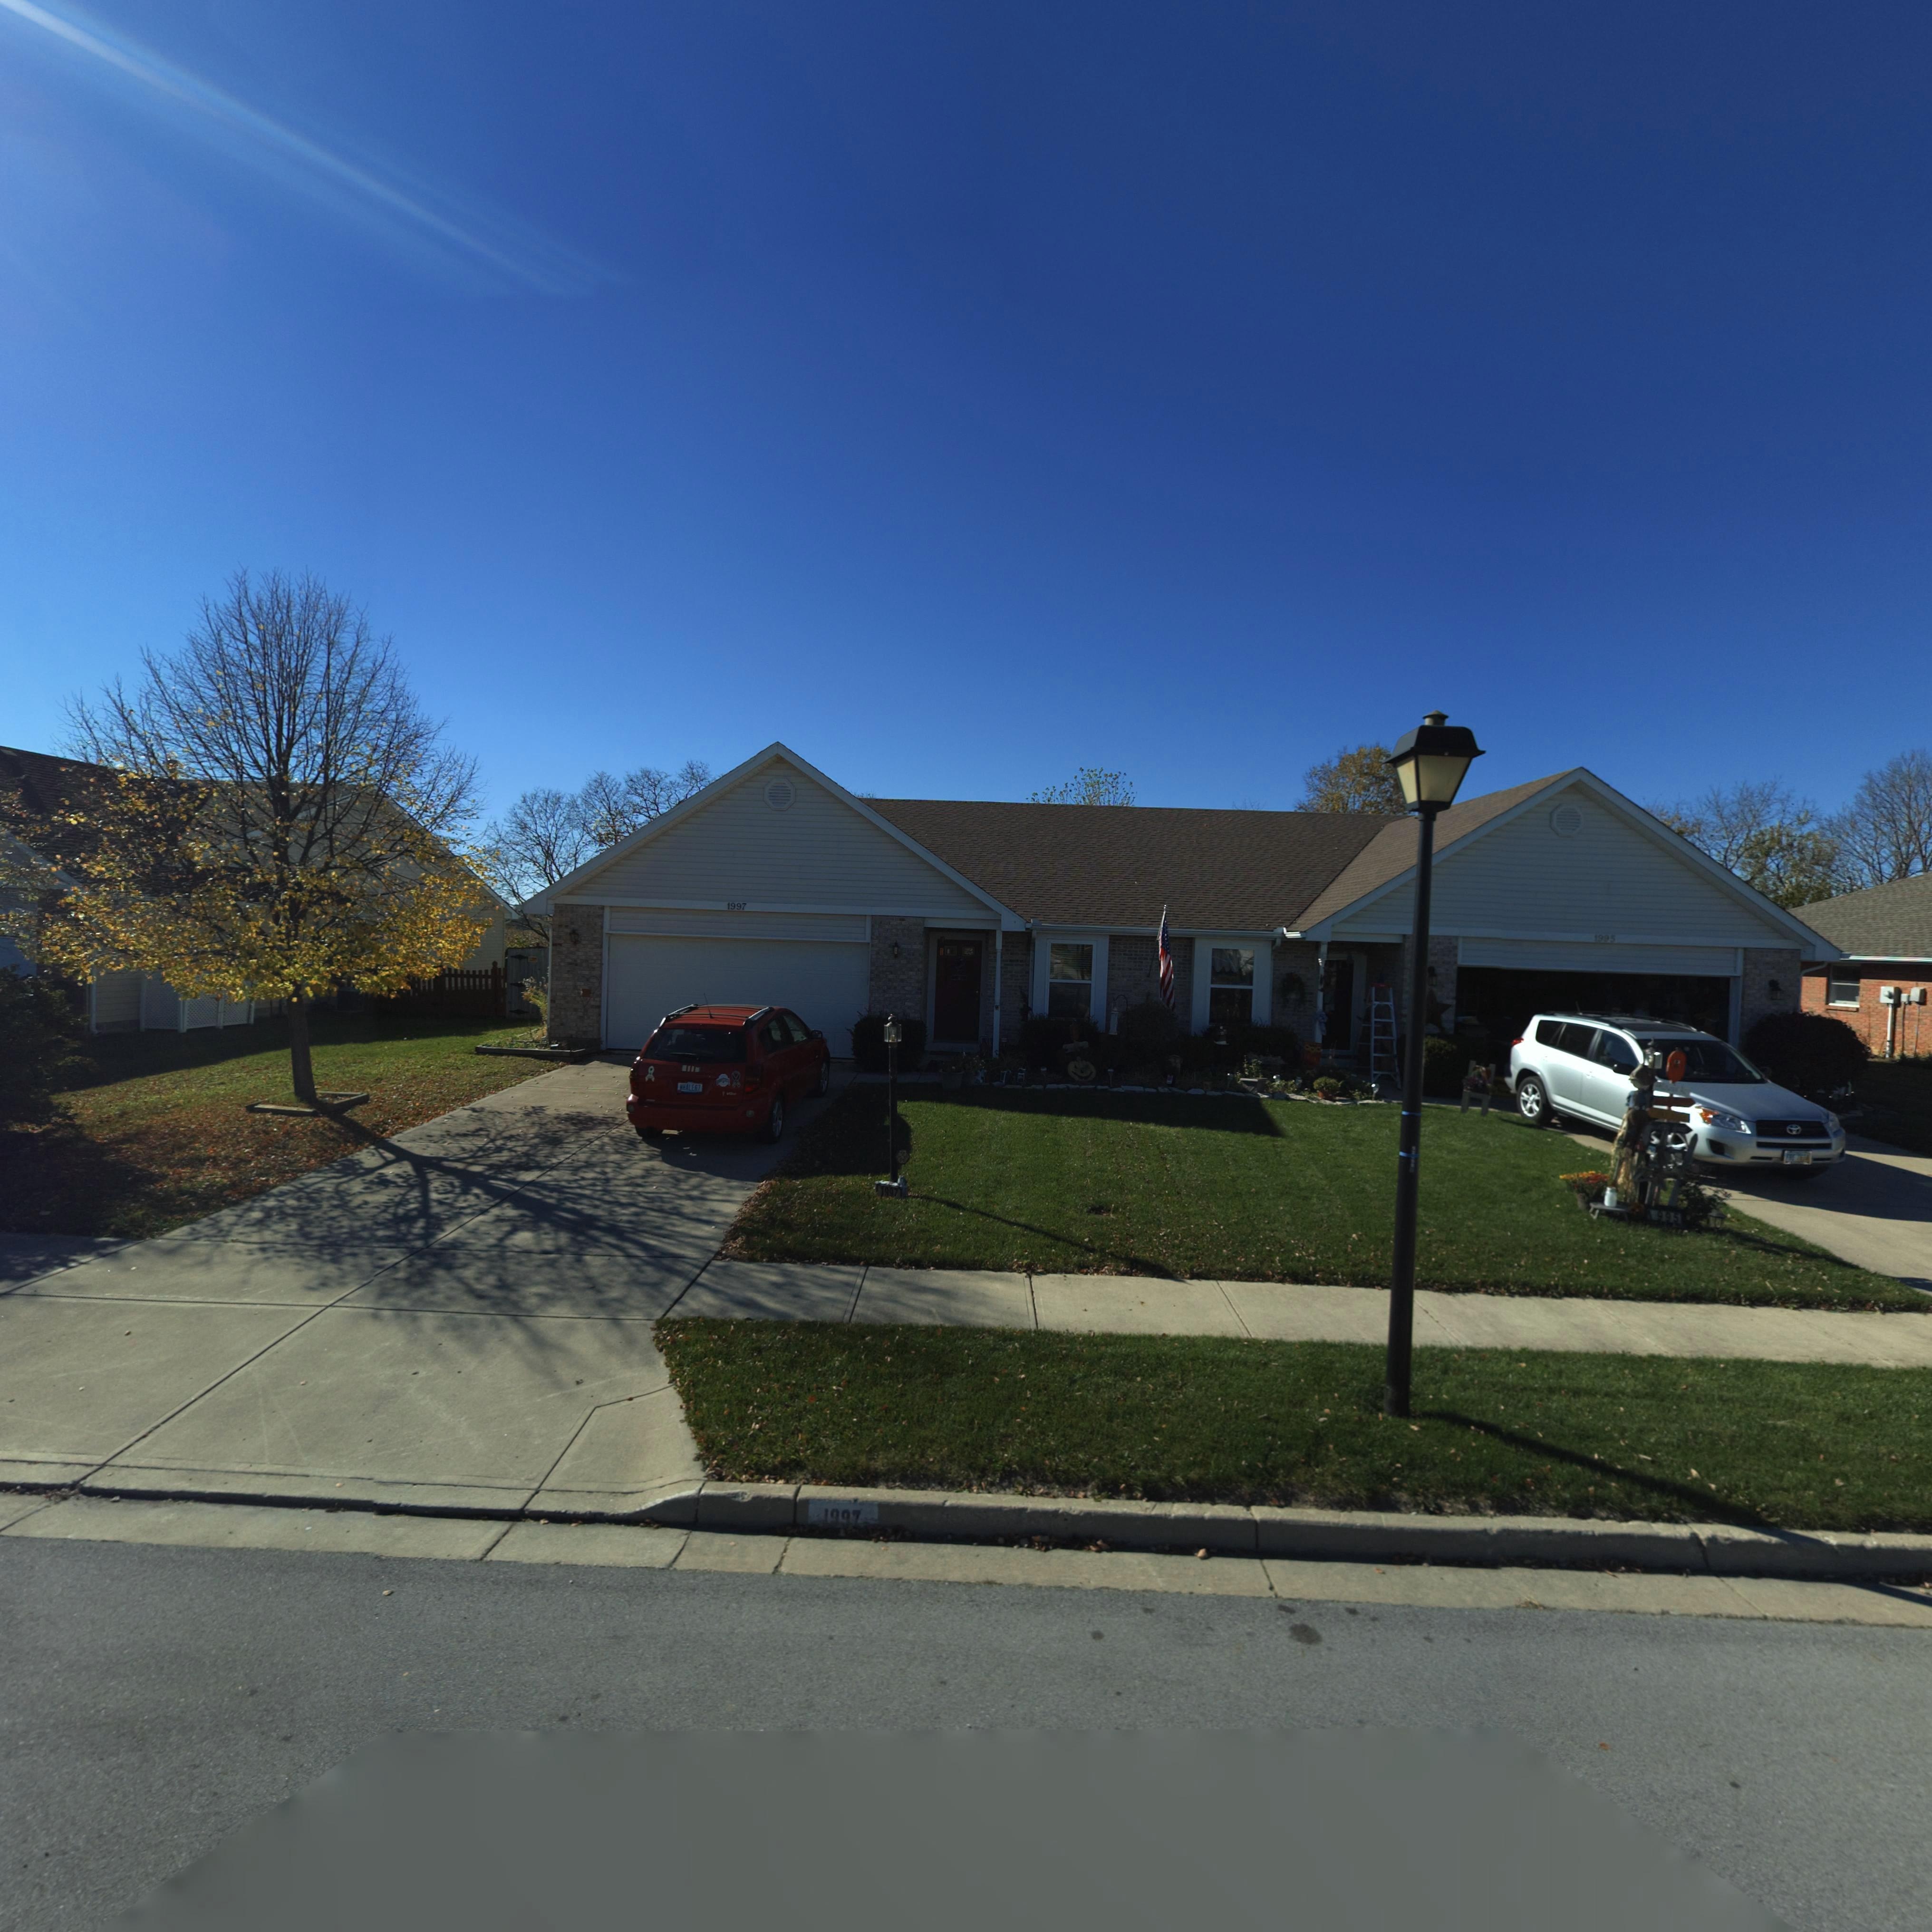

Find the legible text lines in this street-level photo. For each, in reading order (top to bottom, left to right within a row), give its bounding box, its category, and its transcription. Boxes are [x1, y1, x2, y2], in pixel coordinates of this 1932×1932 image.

[726, 901, 749, 911] StreetNumber: 1997
[1593, 934, 1616, 944] StreetNumber: 1995
[879, 1186, 899, 1198] StreetNumber: 1997
[1656, 1209, 1680, 1223] StreetNumber: 995
[821, 1506, 864, 1527] StreetNumber: 1997